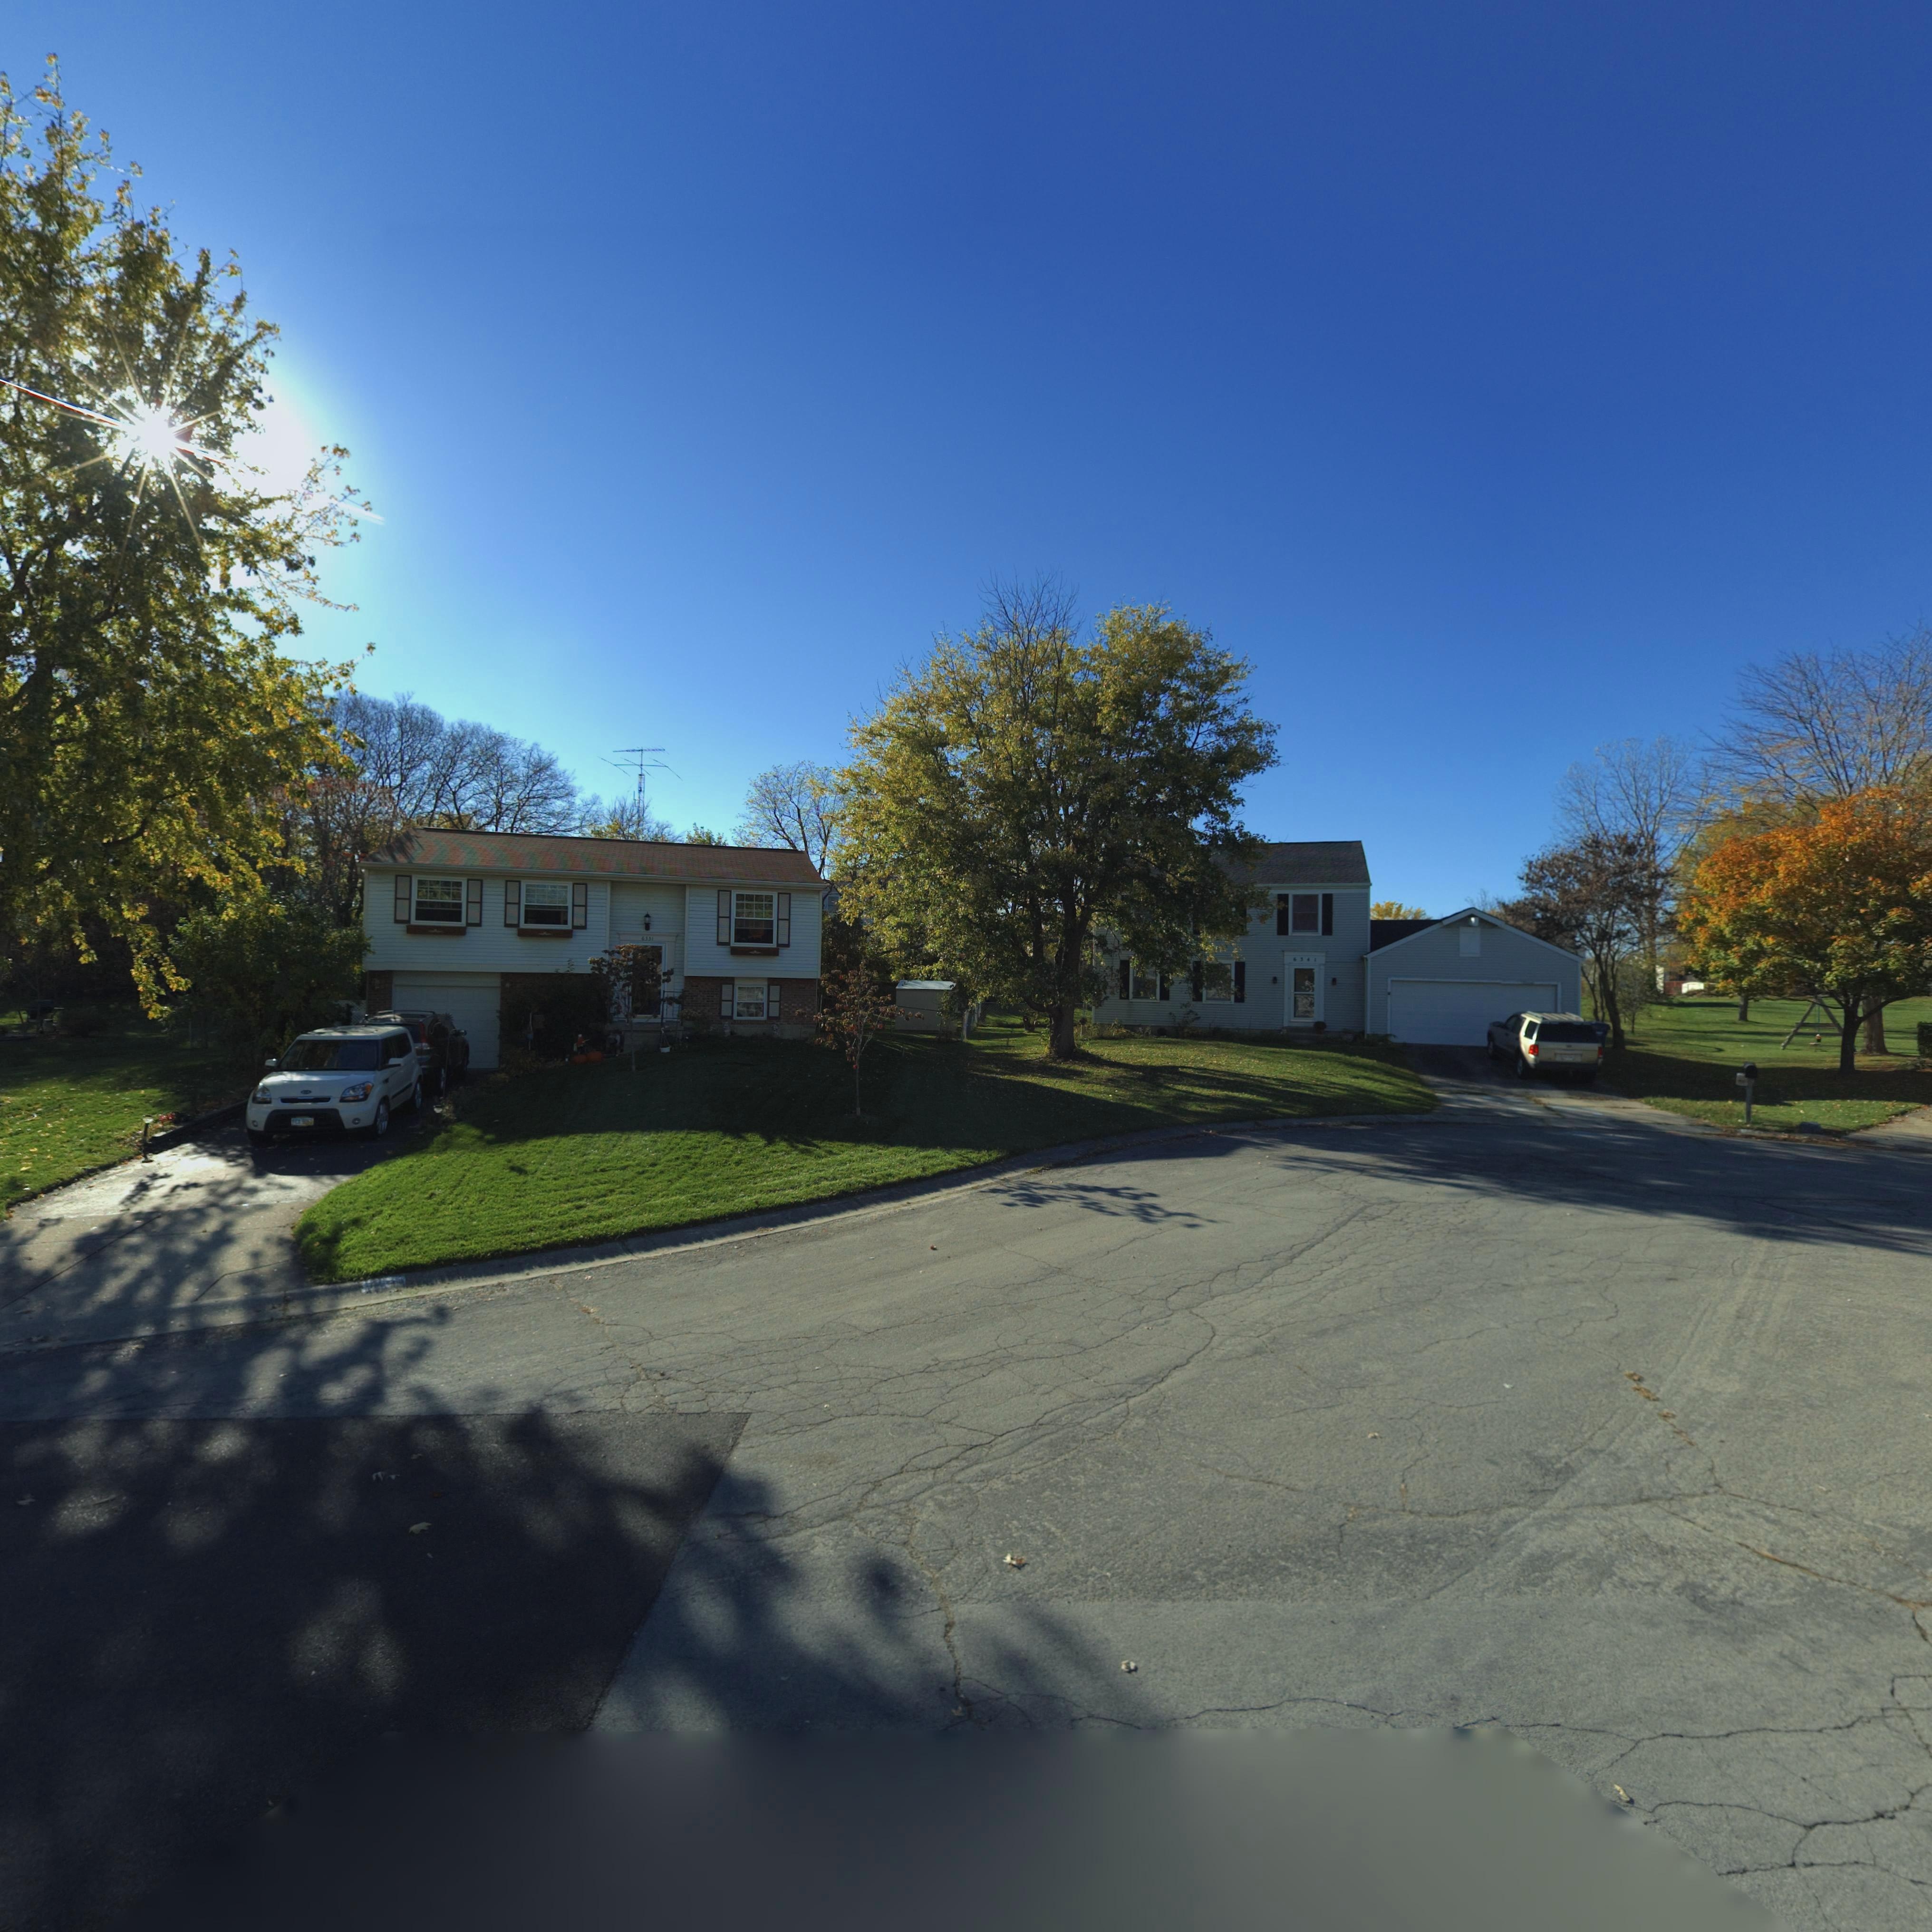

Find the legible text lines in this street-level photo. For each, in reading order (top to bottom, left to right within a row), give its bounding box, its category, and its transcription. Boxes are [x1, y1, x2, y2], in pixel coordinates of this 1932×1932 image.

[640, 935, 655, 942] StreetNumber: 633*
[1292, 956, 1318, 963] StreetNumber: 634*